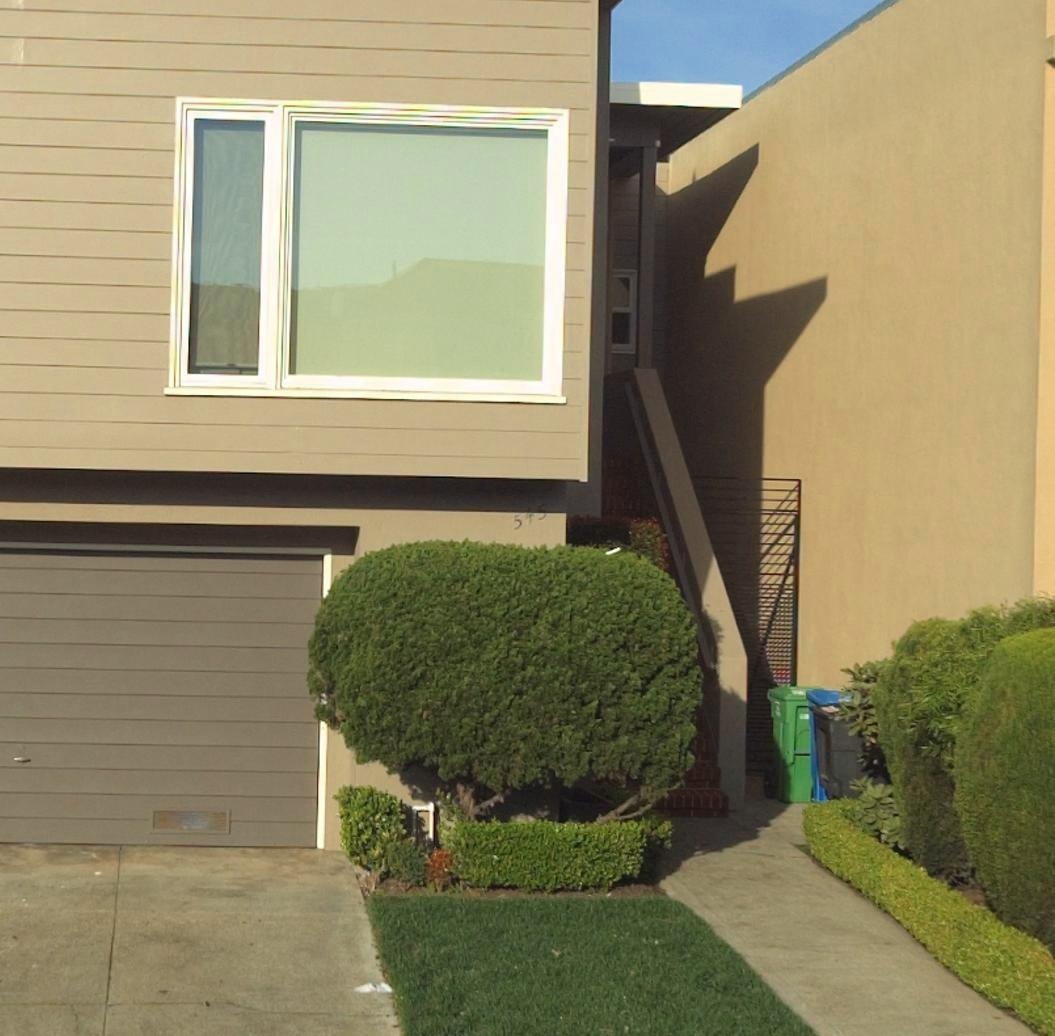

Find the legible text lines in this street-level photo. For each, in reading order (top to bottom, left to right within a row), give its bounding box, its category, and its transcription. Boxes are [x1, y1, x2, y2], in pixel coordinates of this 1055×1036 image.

[511, 498, 549, 534] StreetNumber: 545